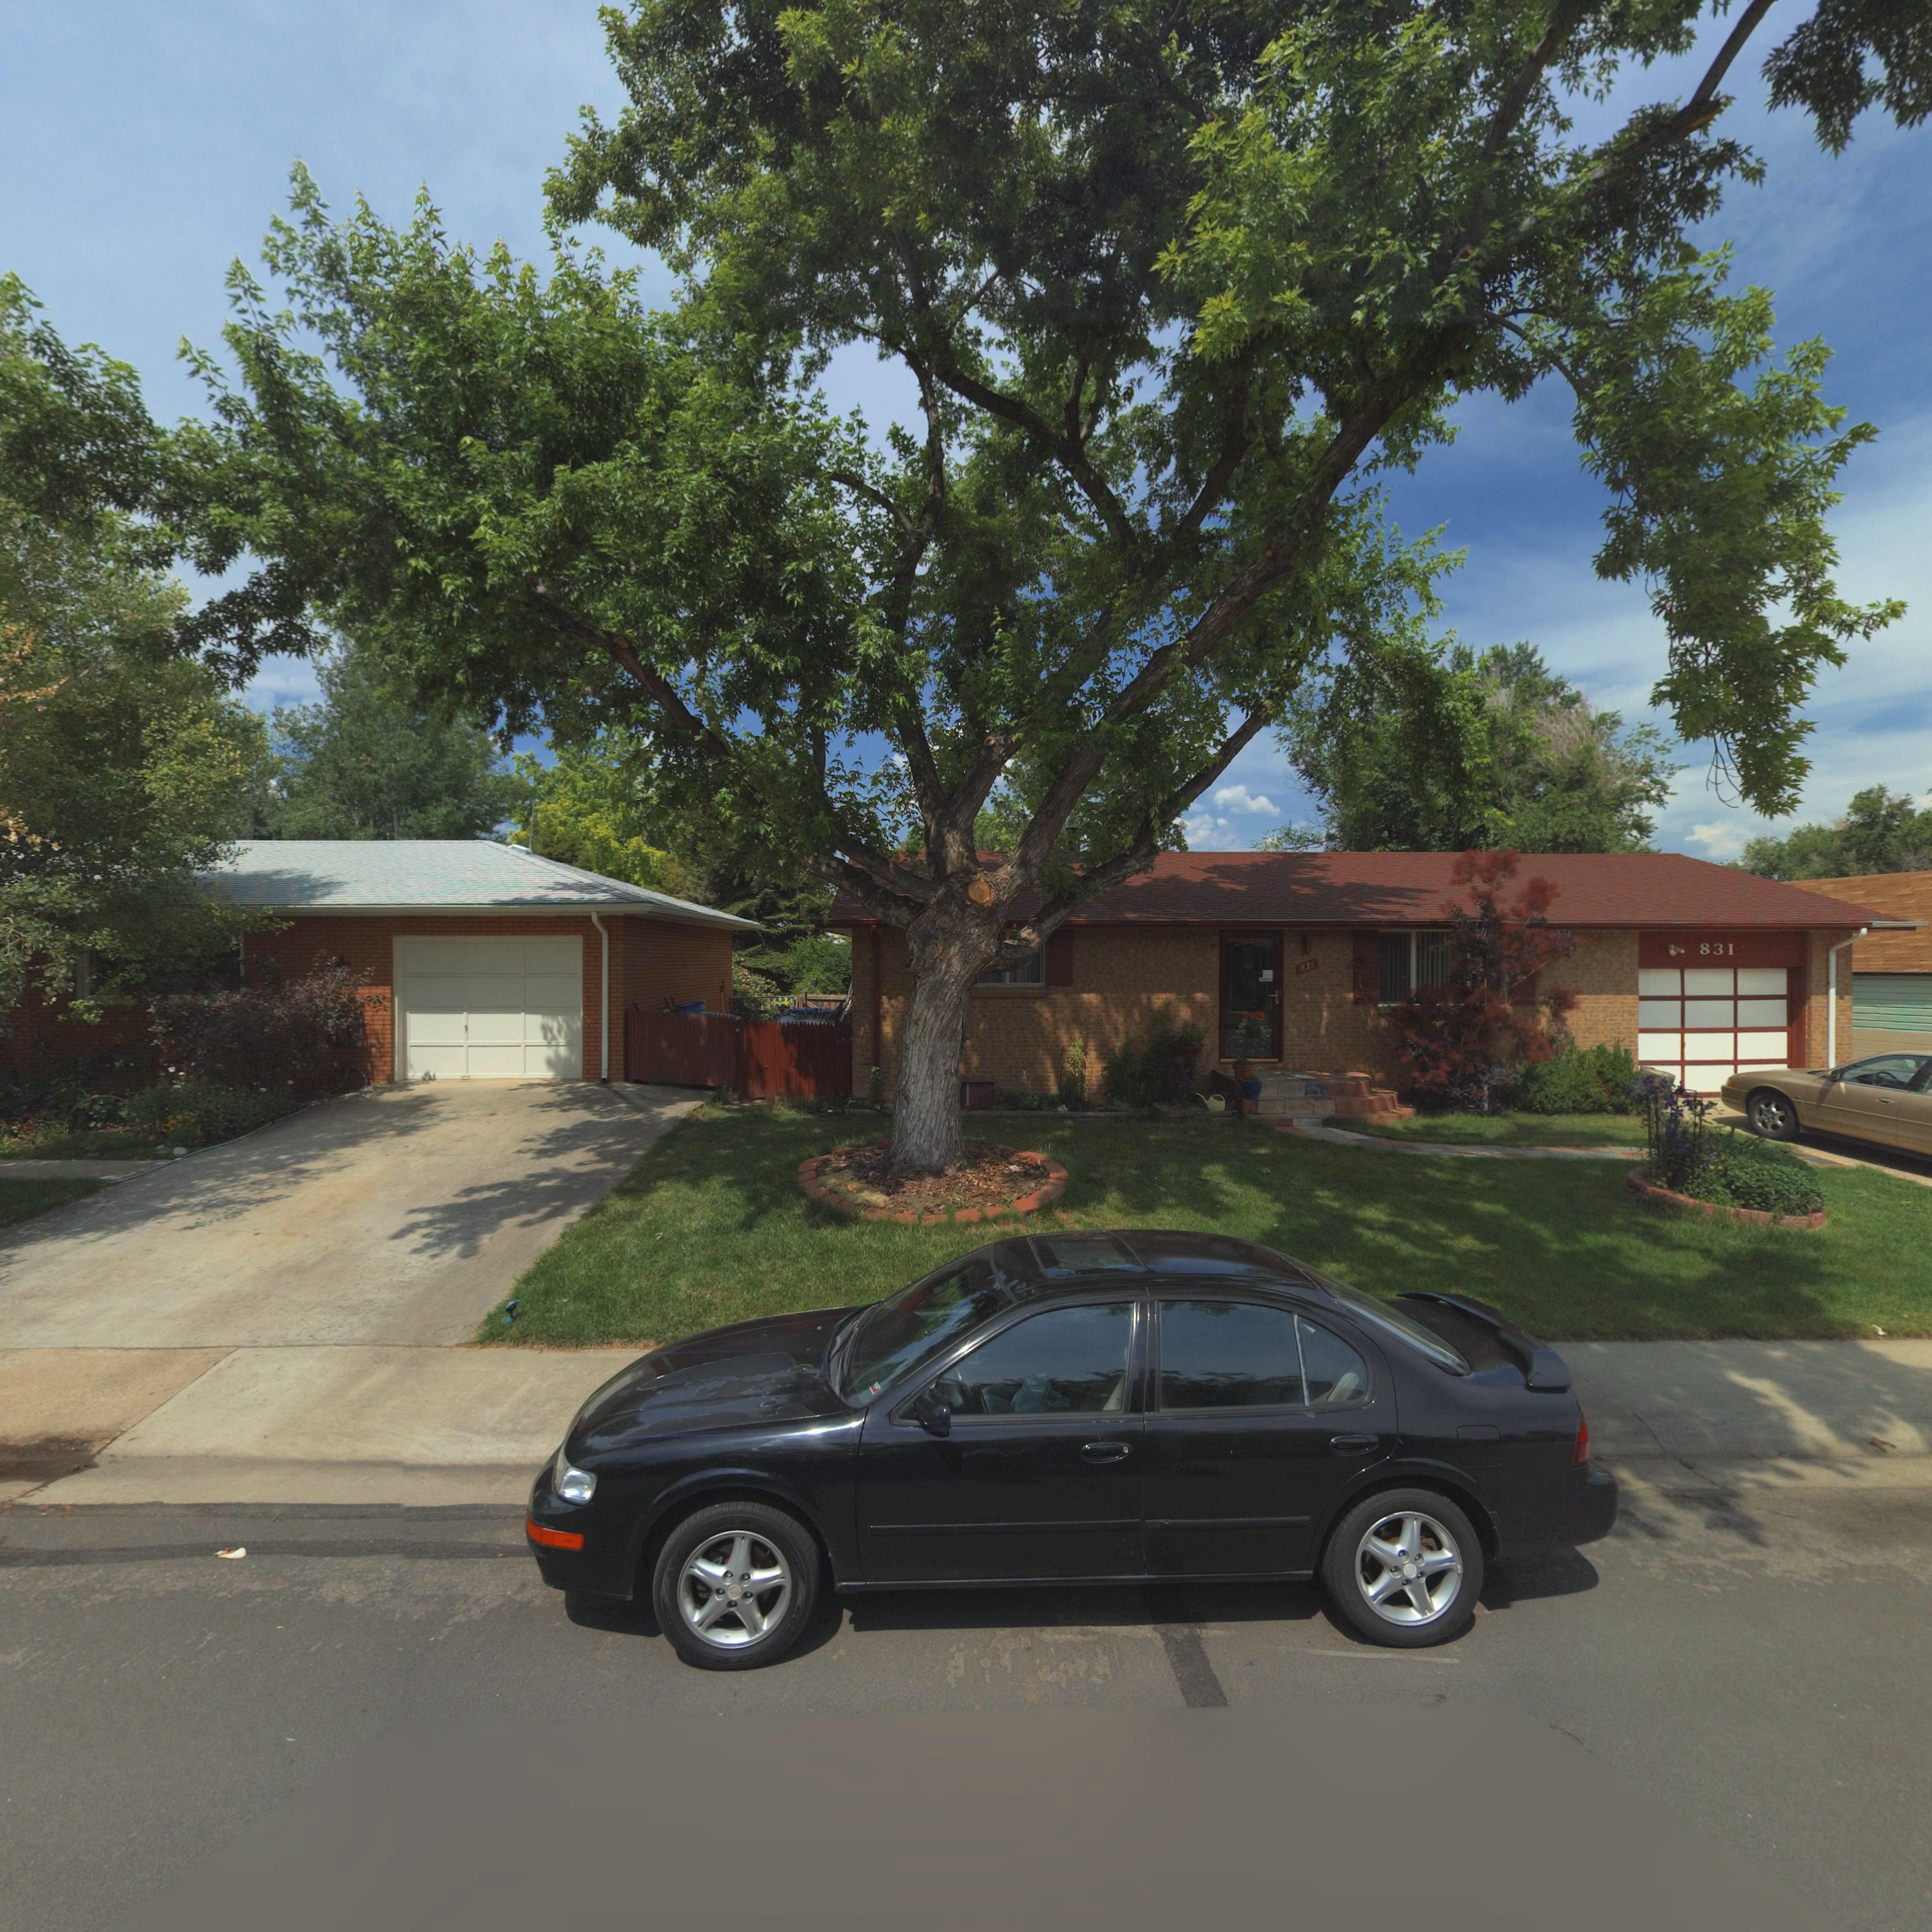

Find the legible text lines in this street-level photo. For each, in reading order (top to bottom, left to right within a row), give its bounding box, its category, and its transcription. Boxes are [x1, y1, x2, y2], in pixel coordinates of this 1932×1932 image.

[1699, 943, 1733, 955] StreetNumber: 831
[1300, 961, 1314, 972] StreetNumber: 831